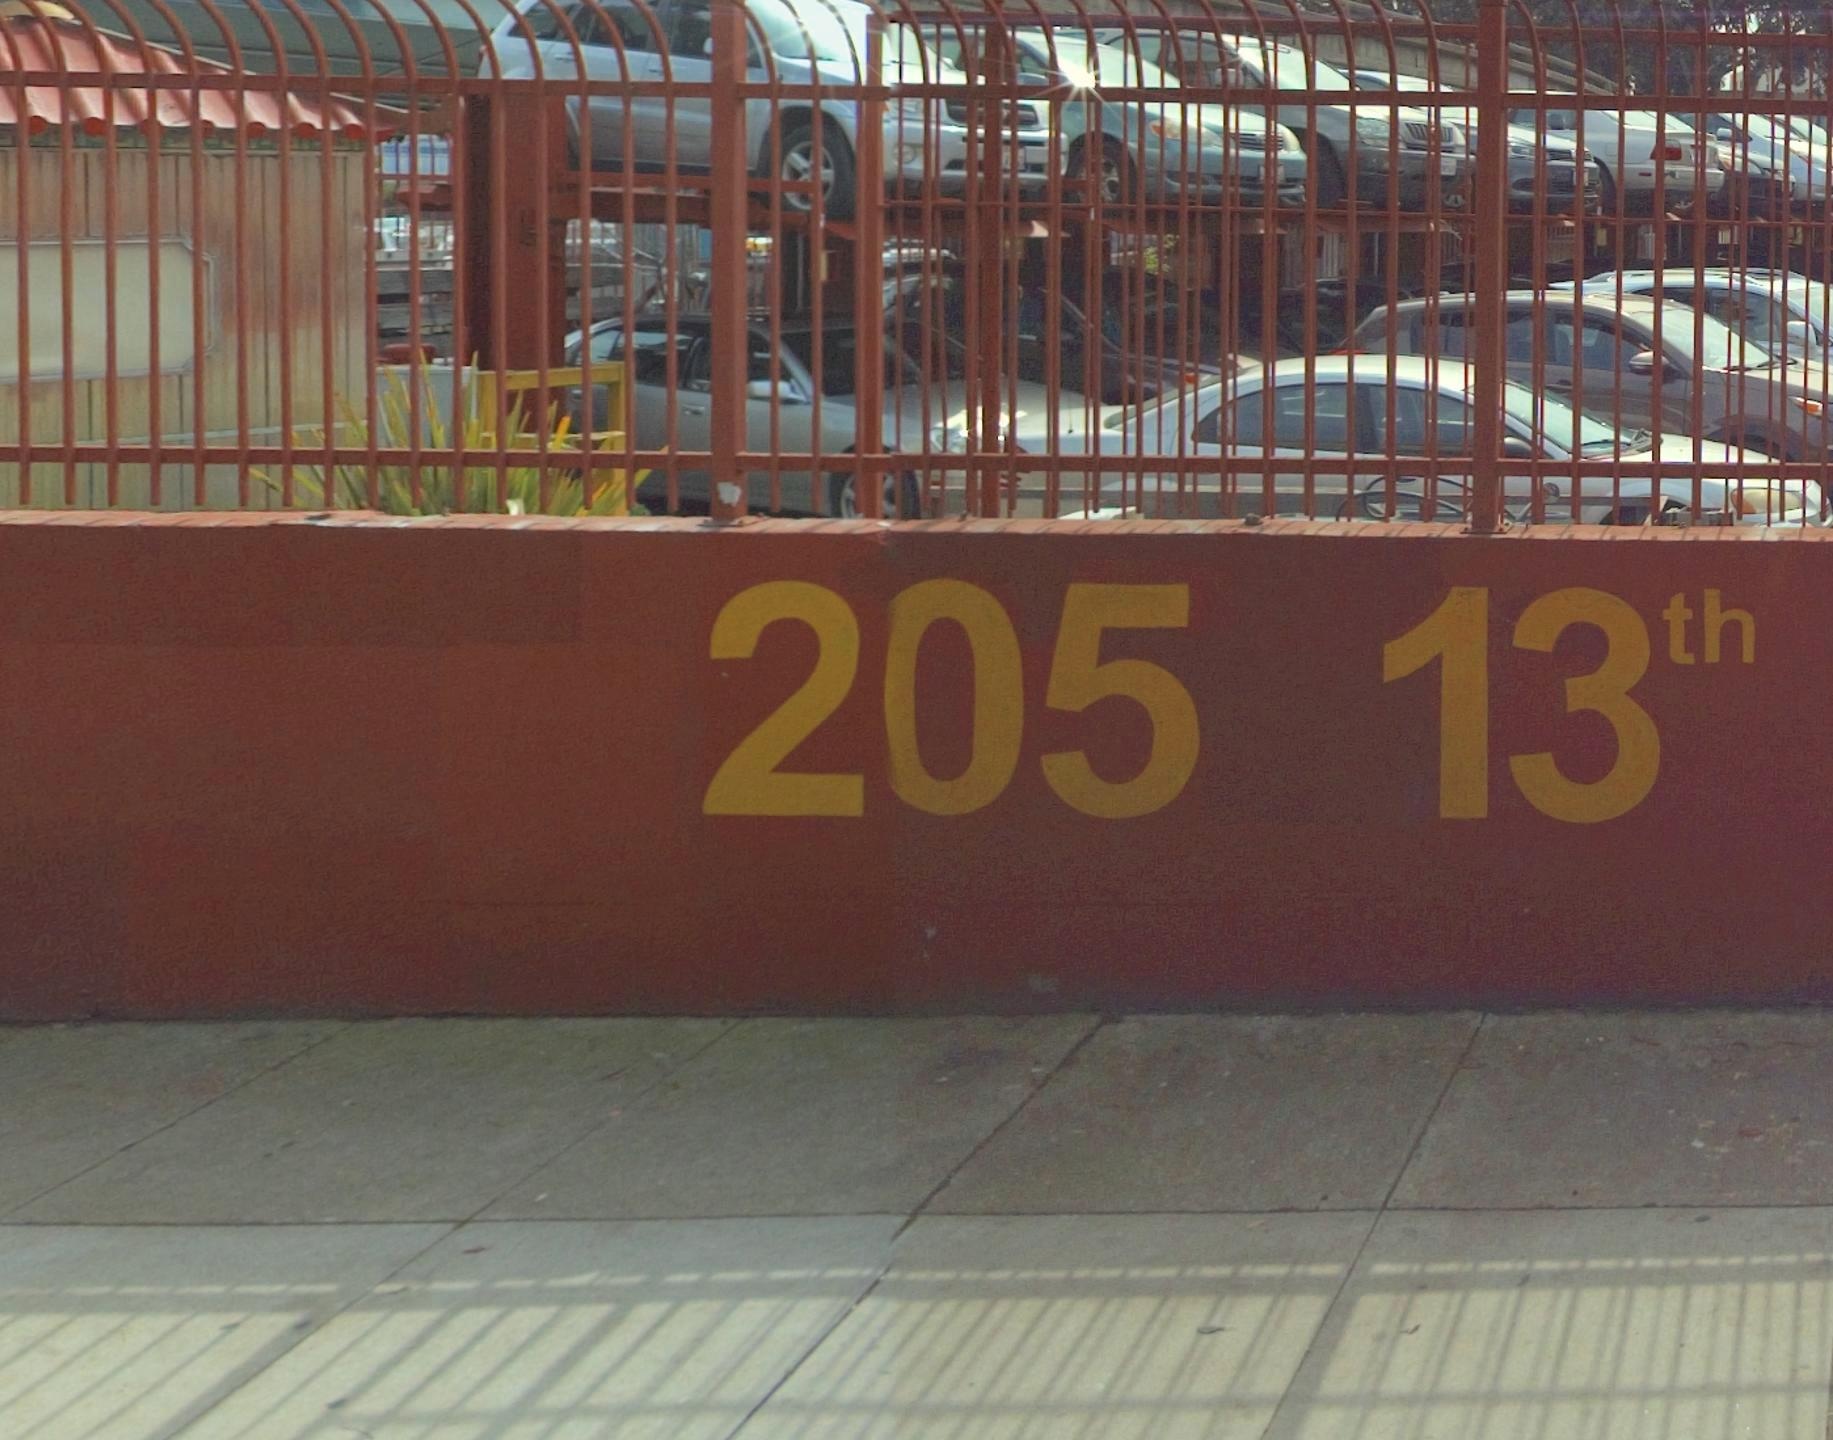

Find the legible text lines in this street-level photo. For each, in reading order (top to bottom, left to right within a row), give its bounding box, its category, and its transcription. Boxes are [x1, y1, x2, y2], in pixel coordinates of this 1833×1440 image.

[698, 579, 1204, 821] StreetNumber: 205
[1379, 582, 1760, 826] StreetName: 13th